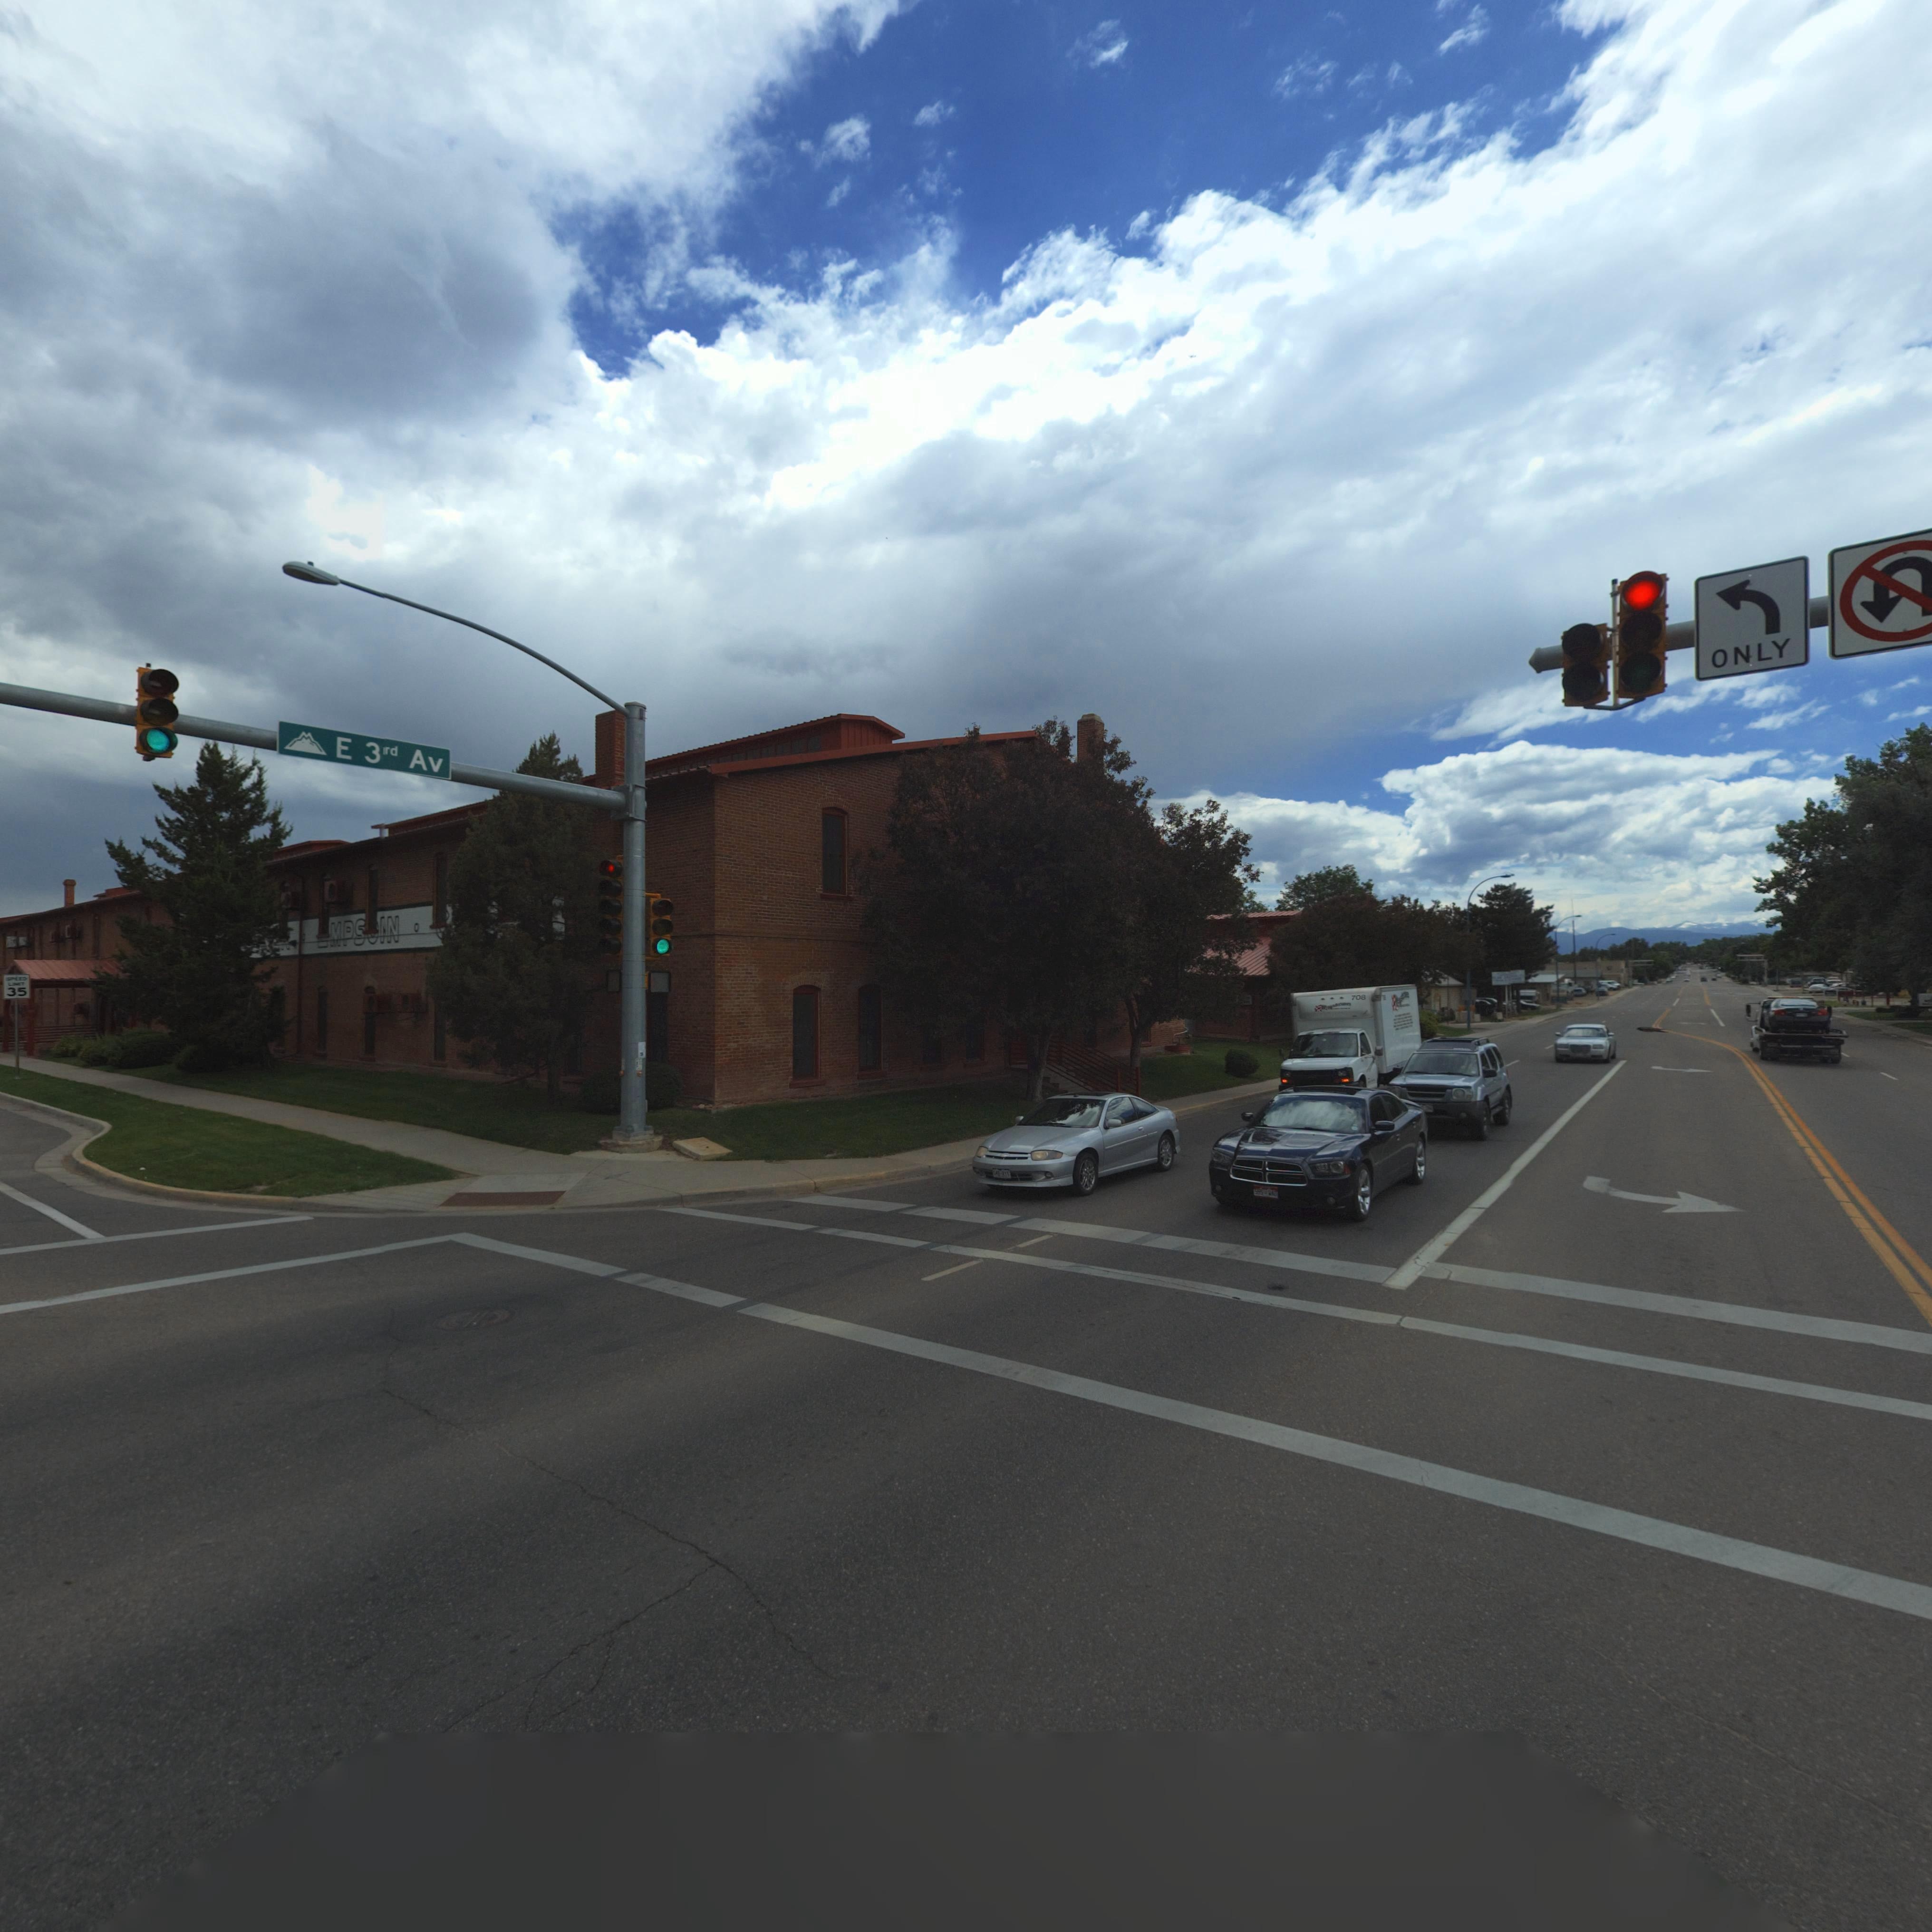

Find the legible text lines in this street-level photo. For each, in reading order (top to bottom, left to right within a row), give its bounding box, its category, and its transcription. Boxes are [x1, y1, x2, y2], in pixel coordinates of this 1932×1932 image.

[335, 735, 444, 773] StreetName: E 3rd Av